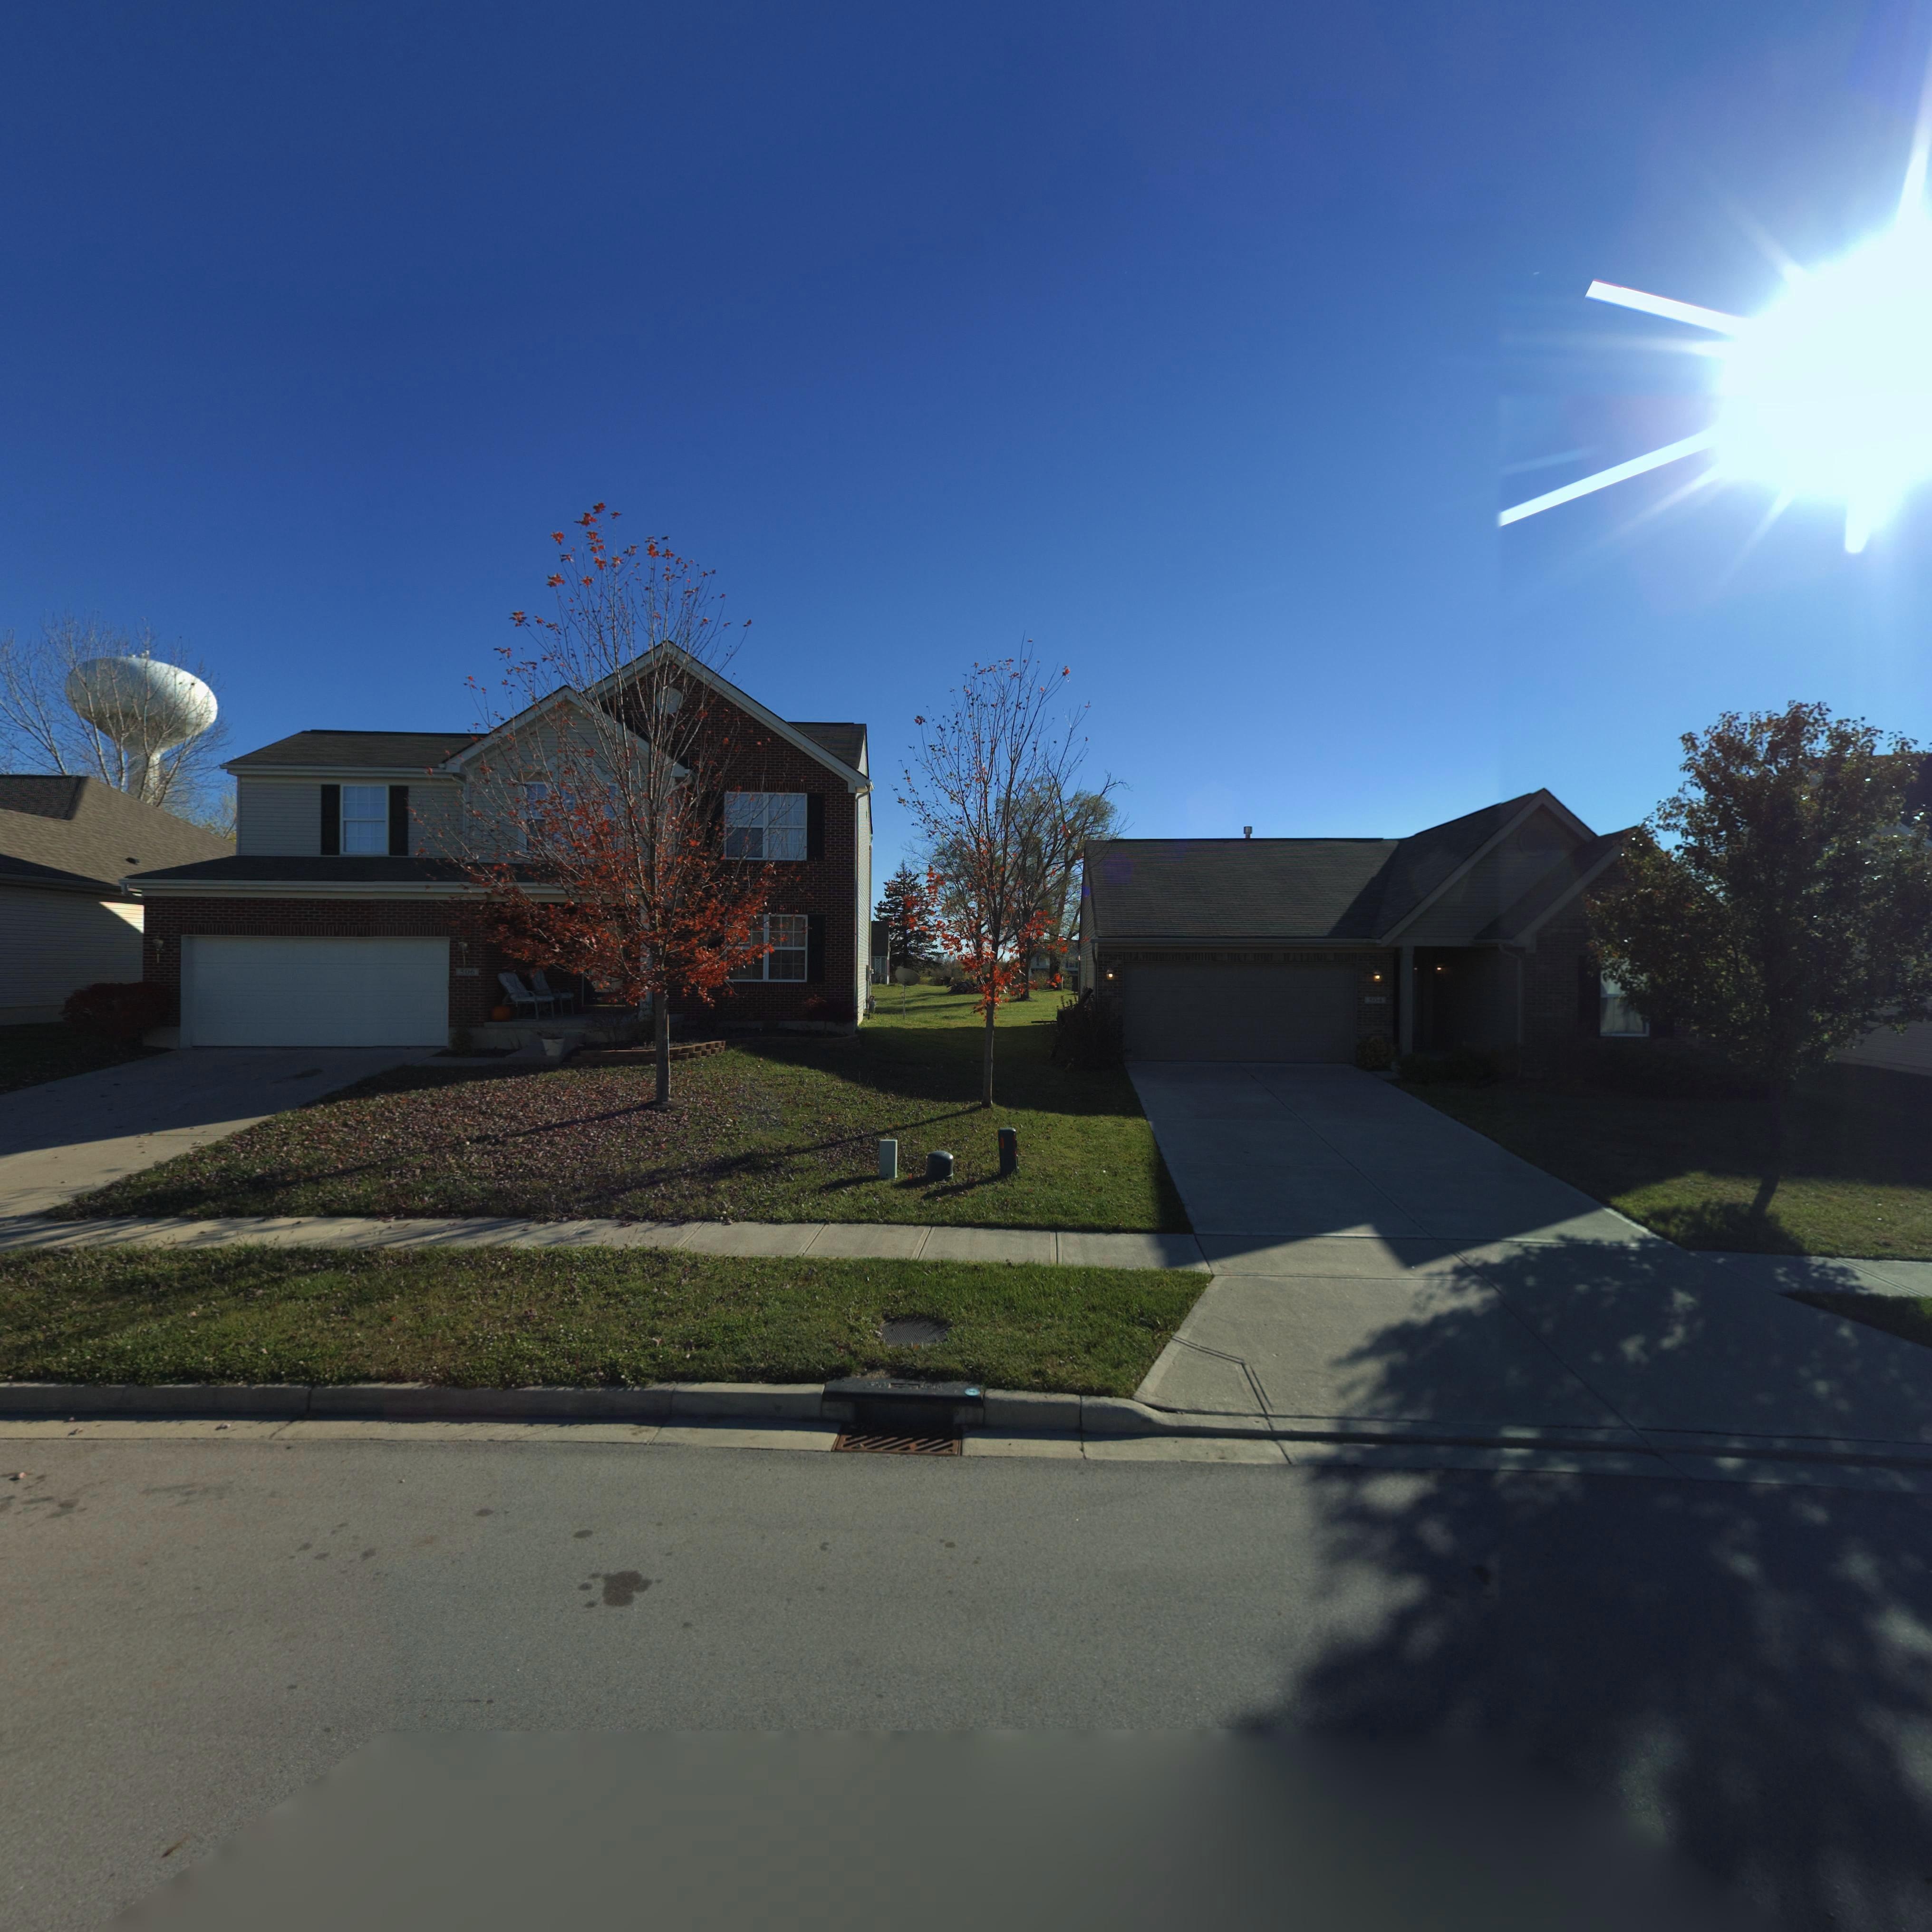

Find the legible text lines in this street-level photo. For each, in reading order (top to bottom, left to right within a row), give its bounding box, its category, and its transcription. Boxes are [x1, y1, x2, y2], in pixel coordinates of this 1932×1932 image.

[459, 968, 476, 976] StreetNumber: 506
[1367, 997, 1383, 1004] StreetNumber: *0*